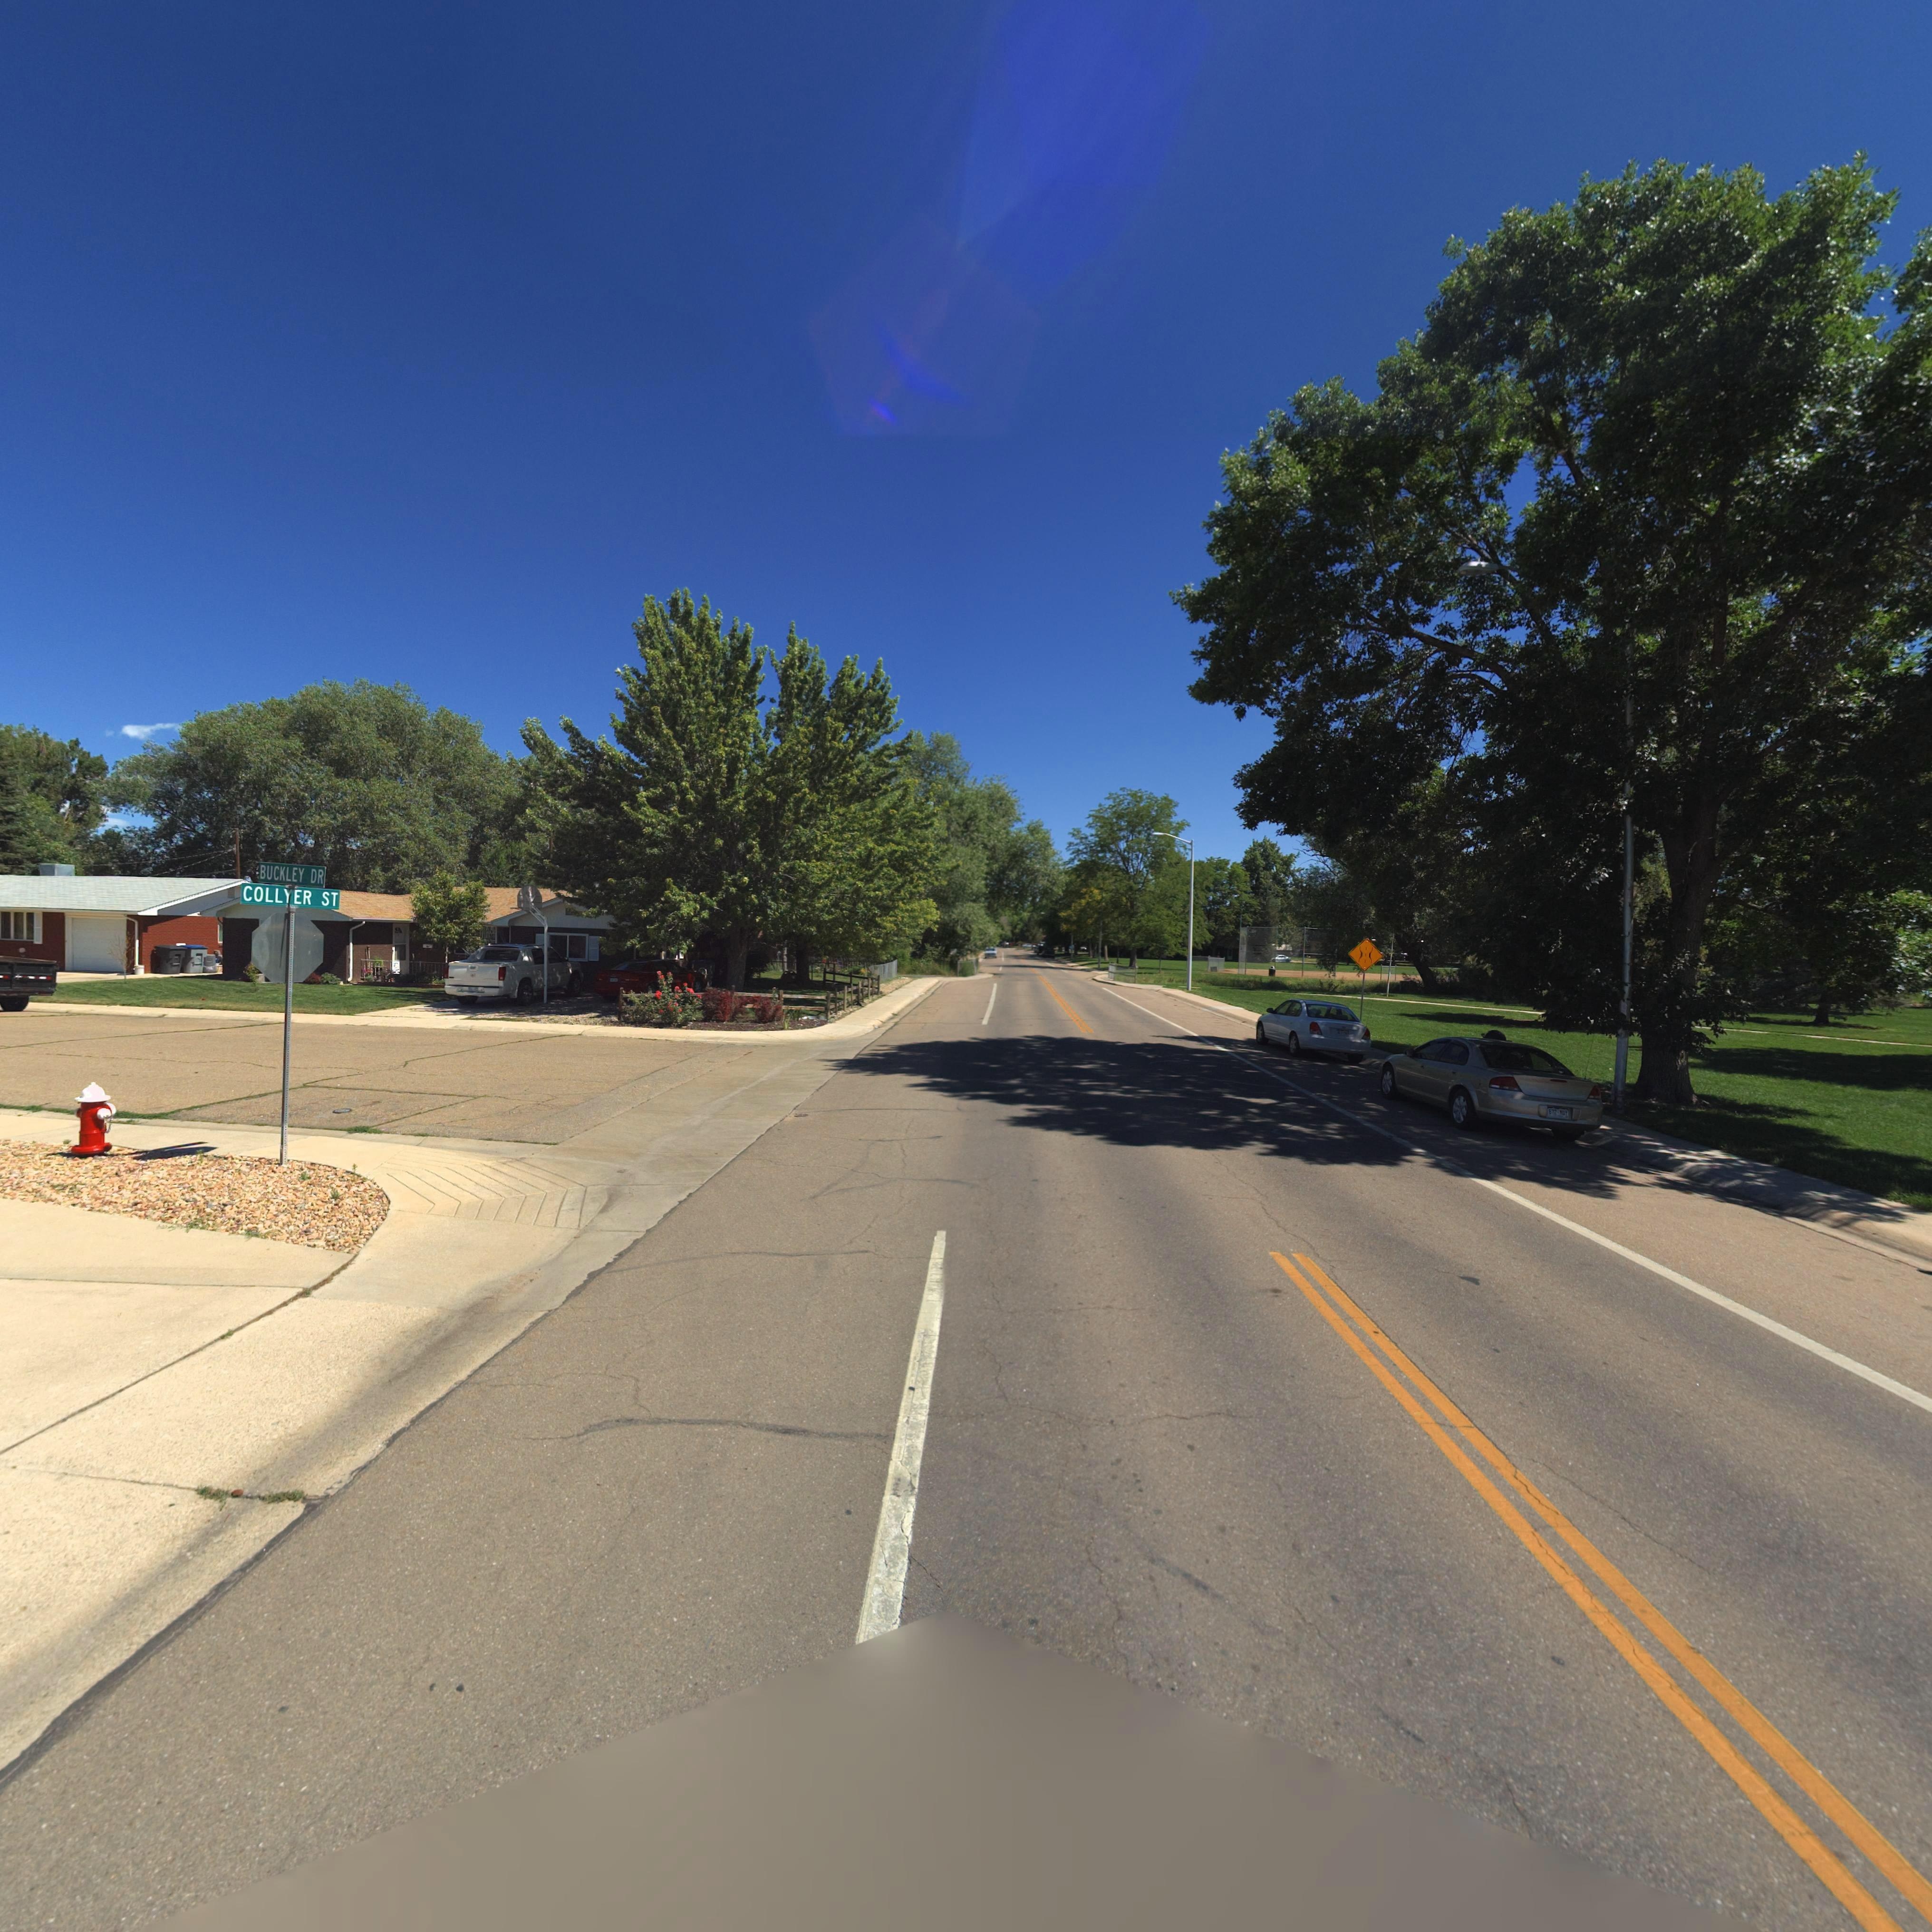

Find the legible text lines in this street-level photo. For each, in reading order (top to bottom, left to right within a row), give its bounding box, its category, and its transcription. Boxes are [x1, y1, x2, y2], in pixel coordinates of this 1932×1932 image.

[259, 864, 324, 885] StreetName: BUCKLEY DR
[242, 885, 338, 907] BusinessName: COLLYER ST